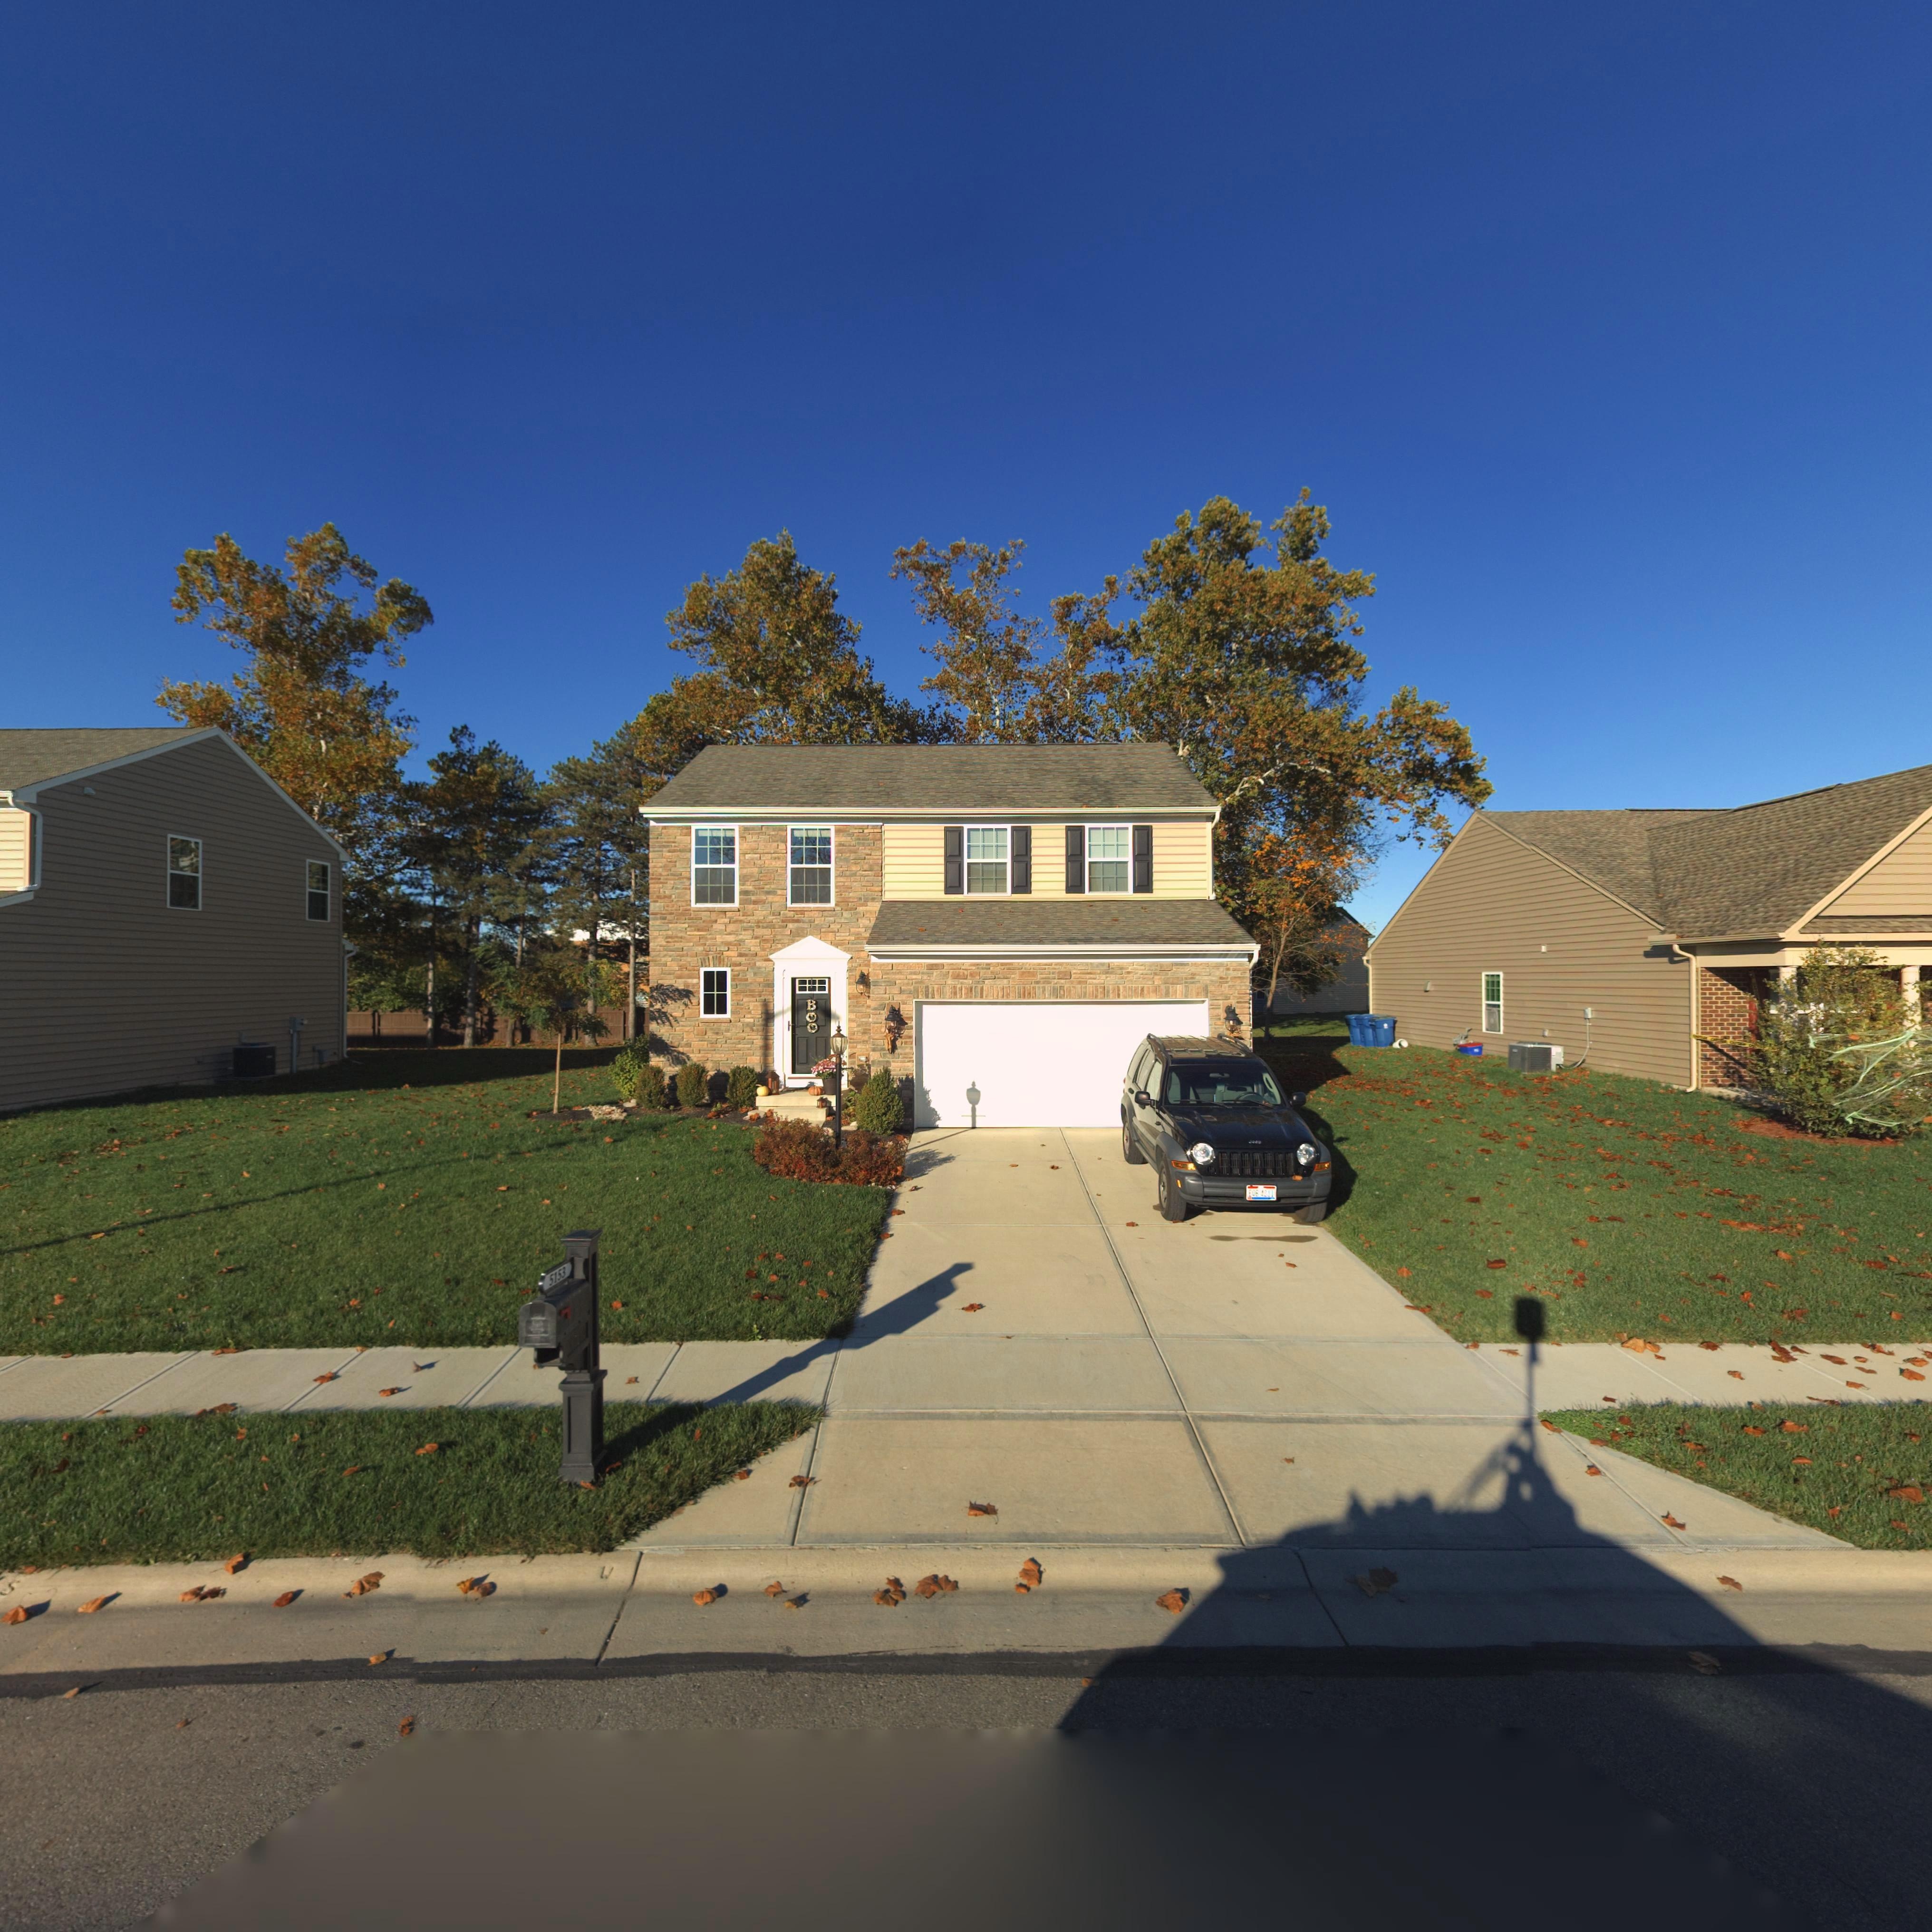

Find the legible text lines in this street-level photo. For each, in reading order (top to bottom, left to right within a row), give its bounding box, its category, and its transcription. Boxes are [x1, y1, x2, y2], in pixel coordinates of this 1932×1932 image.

[548, 1265, 567, 1287] StreetNumber: 5153